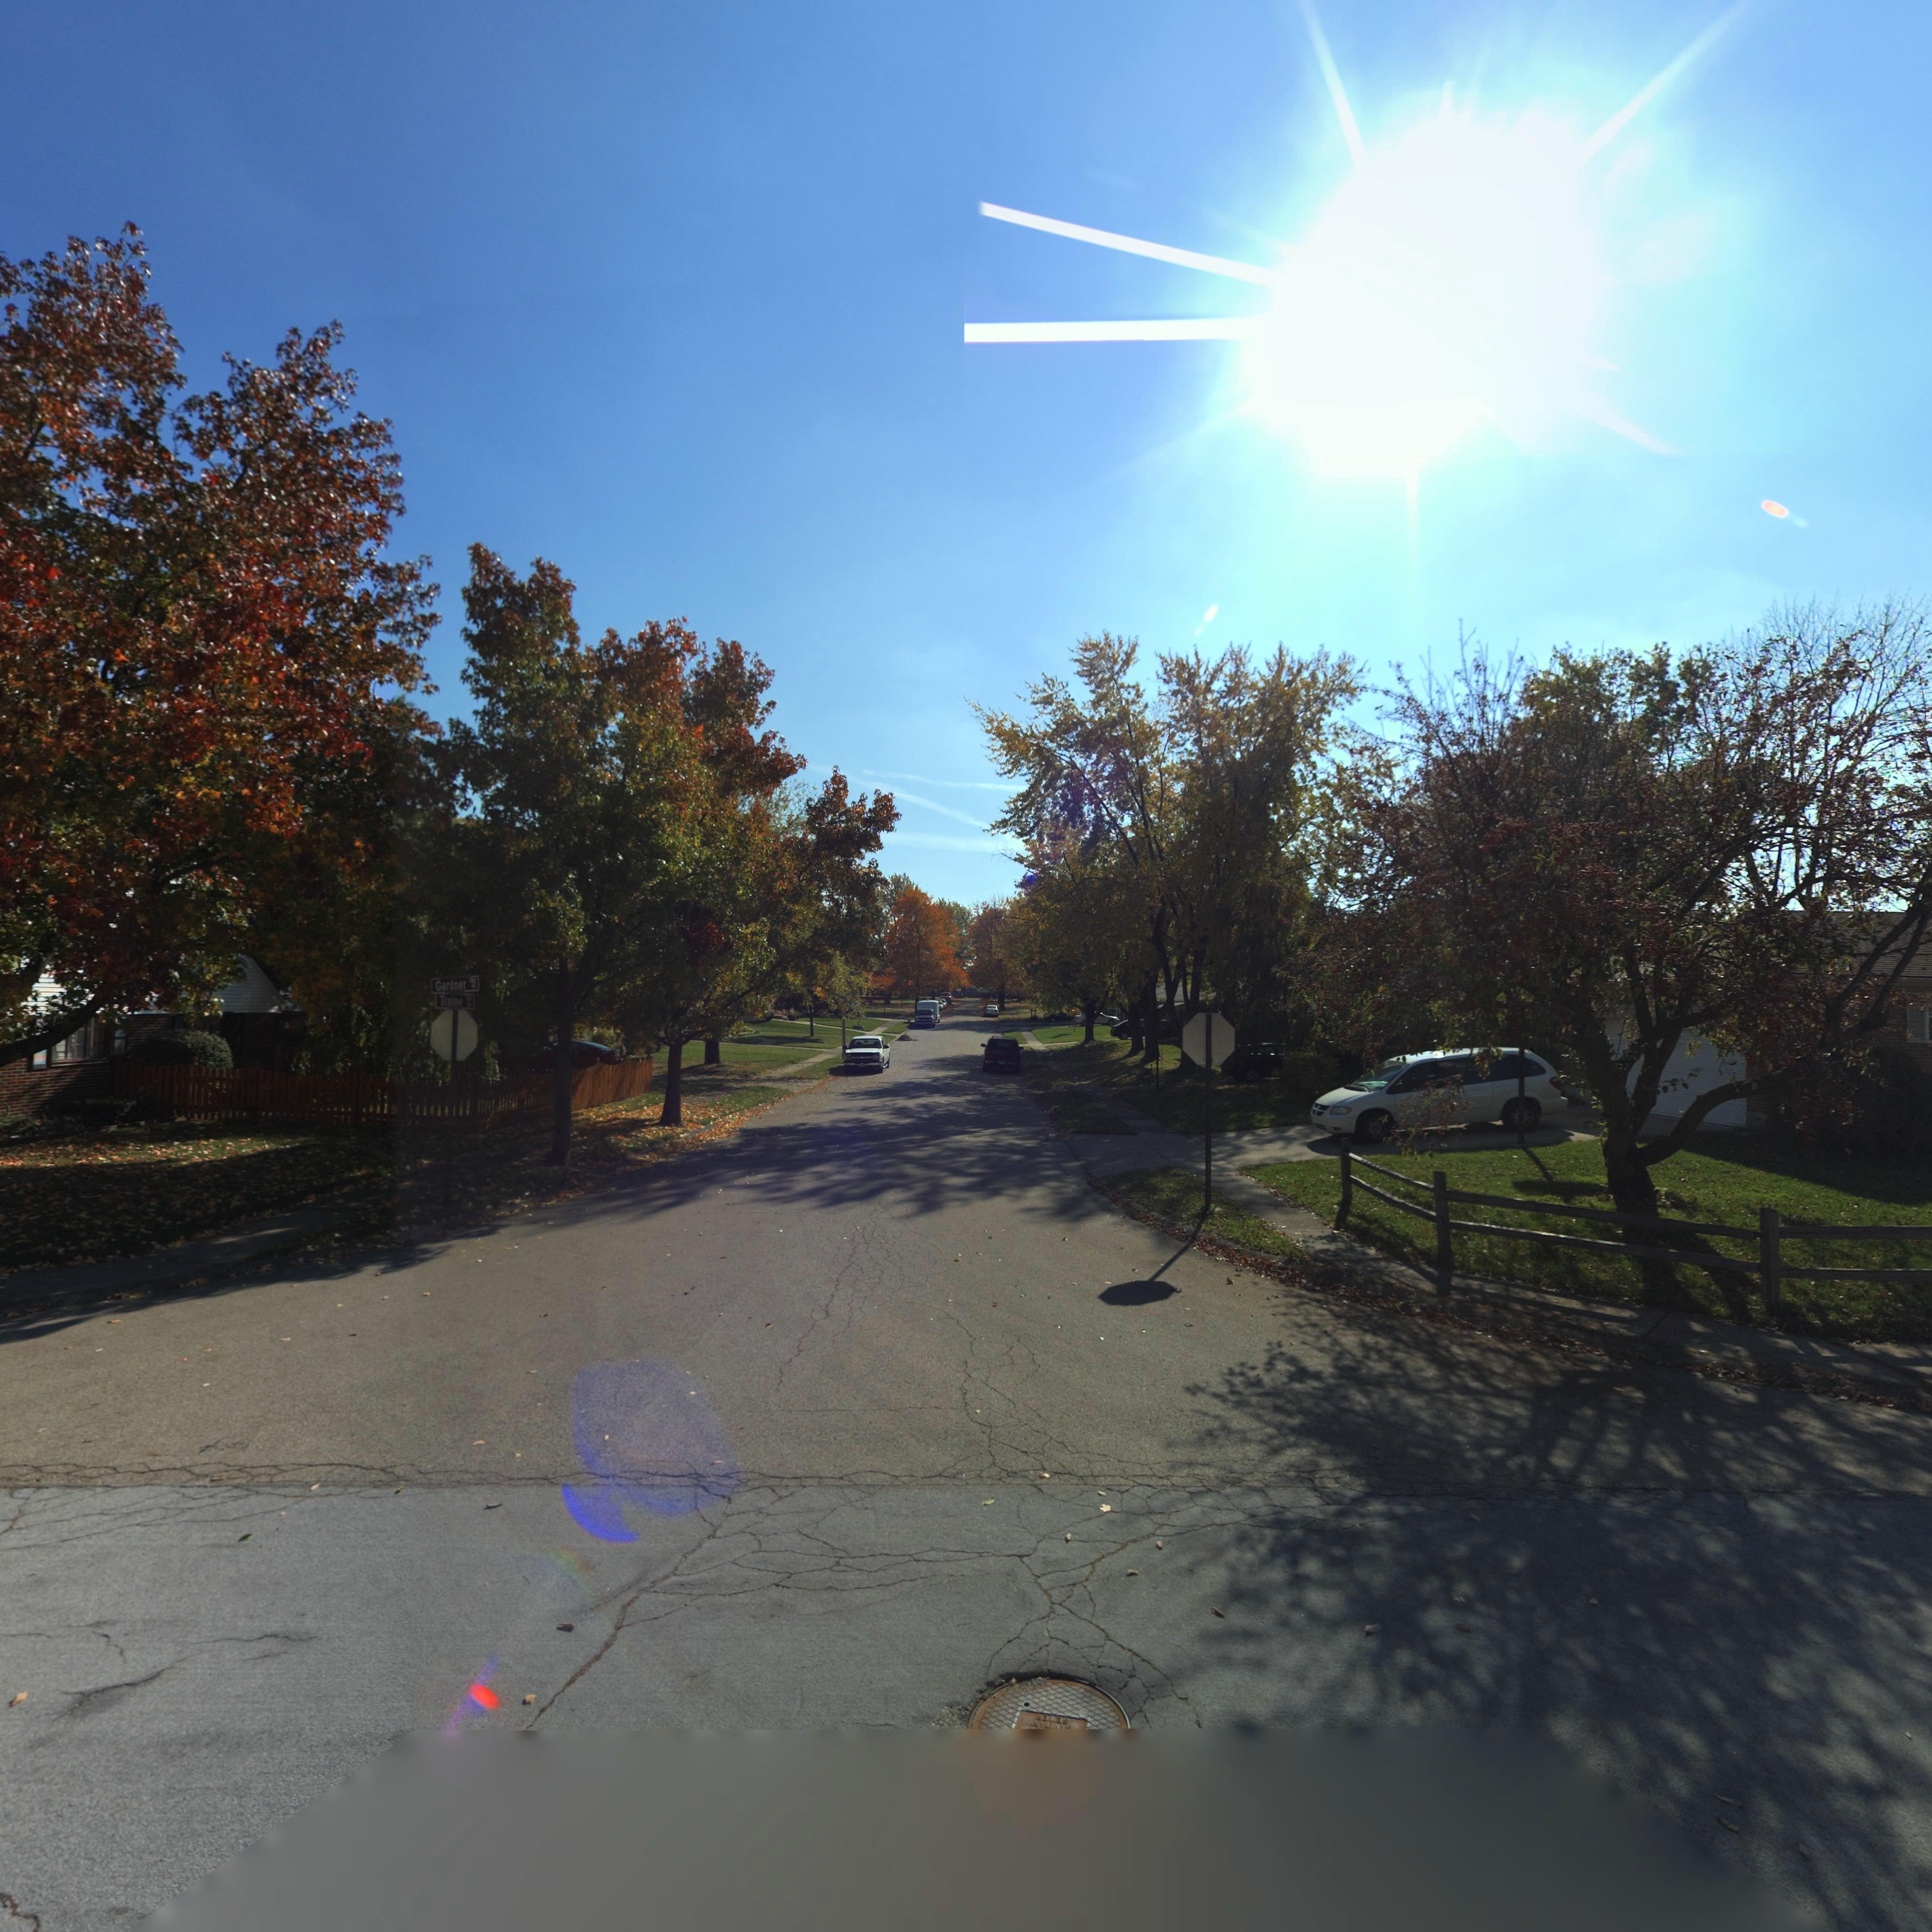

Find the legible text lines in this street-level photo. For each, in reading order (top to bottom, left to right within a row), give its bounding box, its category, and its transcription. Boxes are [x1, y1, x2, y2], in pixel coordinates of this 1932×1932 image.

[435, 977, 476, 992] StreetName: Gardner R*
[439, 995, 473, 1007] StreetName: Traine Dr